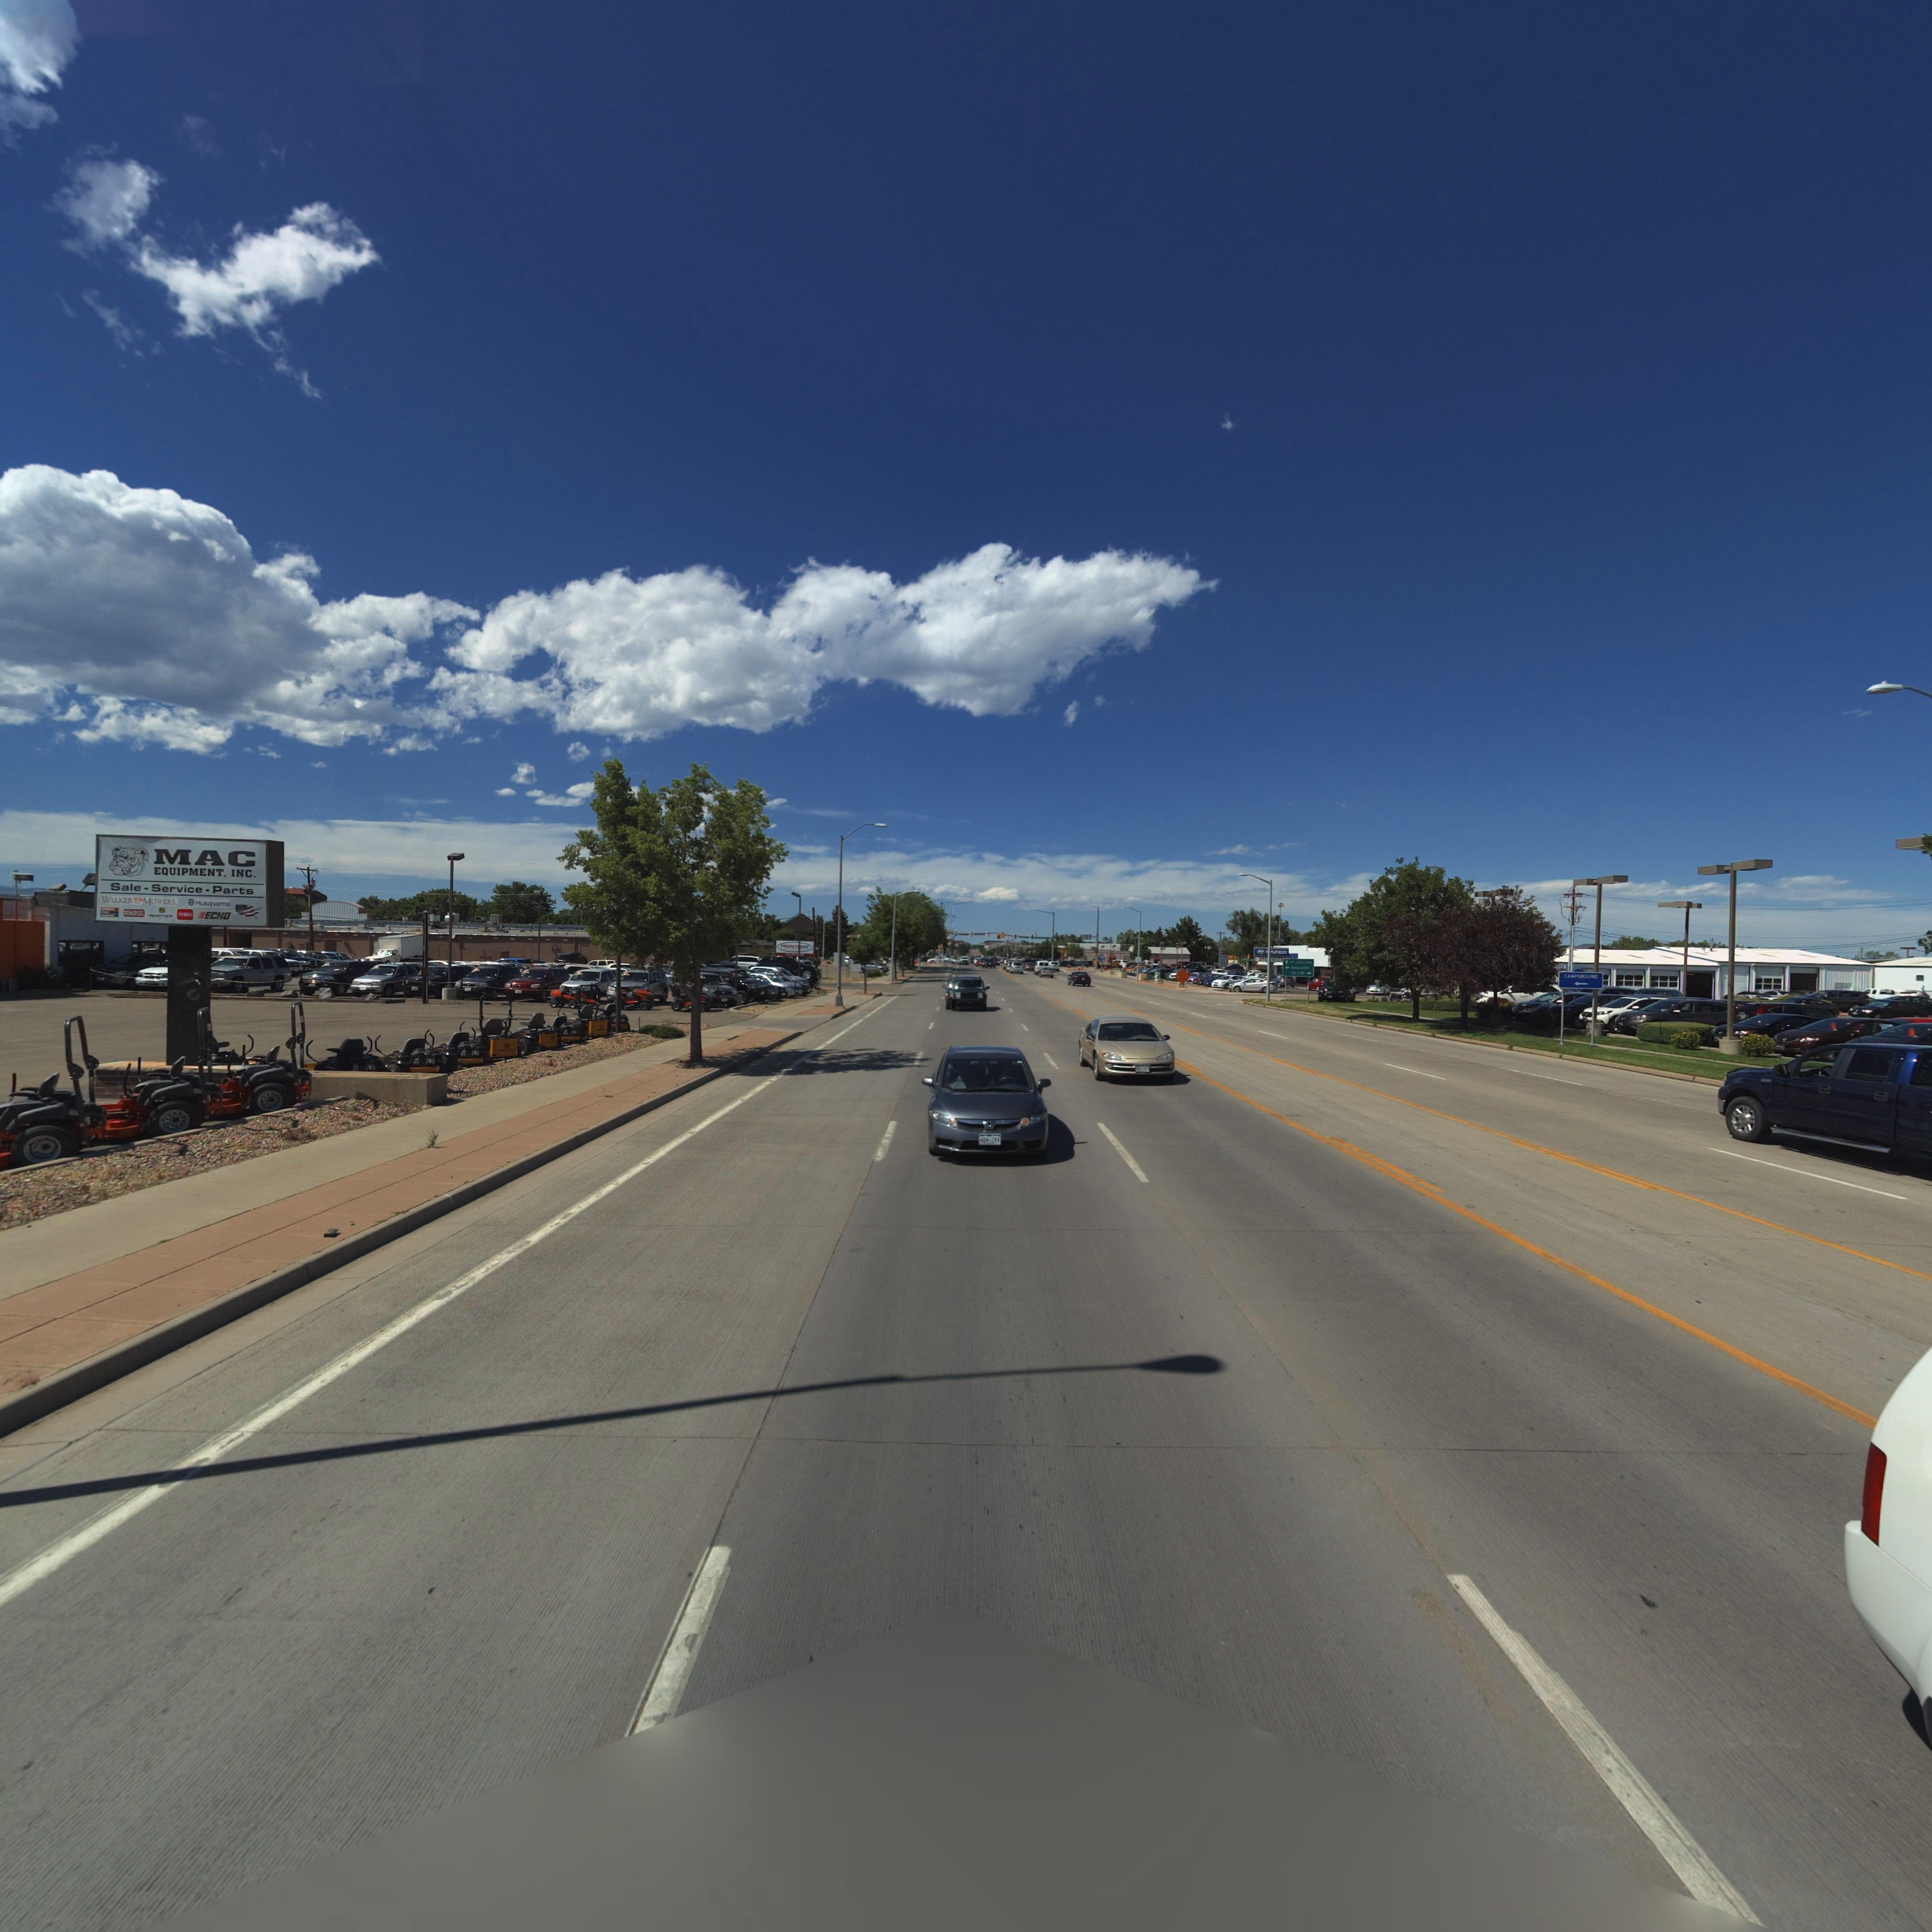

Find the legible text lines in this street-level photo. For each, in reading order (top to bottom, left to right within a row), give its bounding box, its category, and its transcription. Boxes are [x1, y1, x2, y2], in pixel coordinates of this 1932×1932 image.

[154, 849, 256, 867] BusinessName: MAC
[153, 866, 253, 878] BusinessName: EQUIPMENT INC
[780, 944, 808, 948] BusinessName: FRONTLINE
[1272, 950, 1287, 954] BusinessName: UnDAI